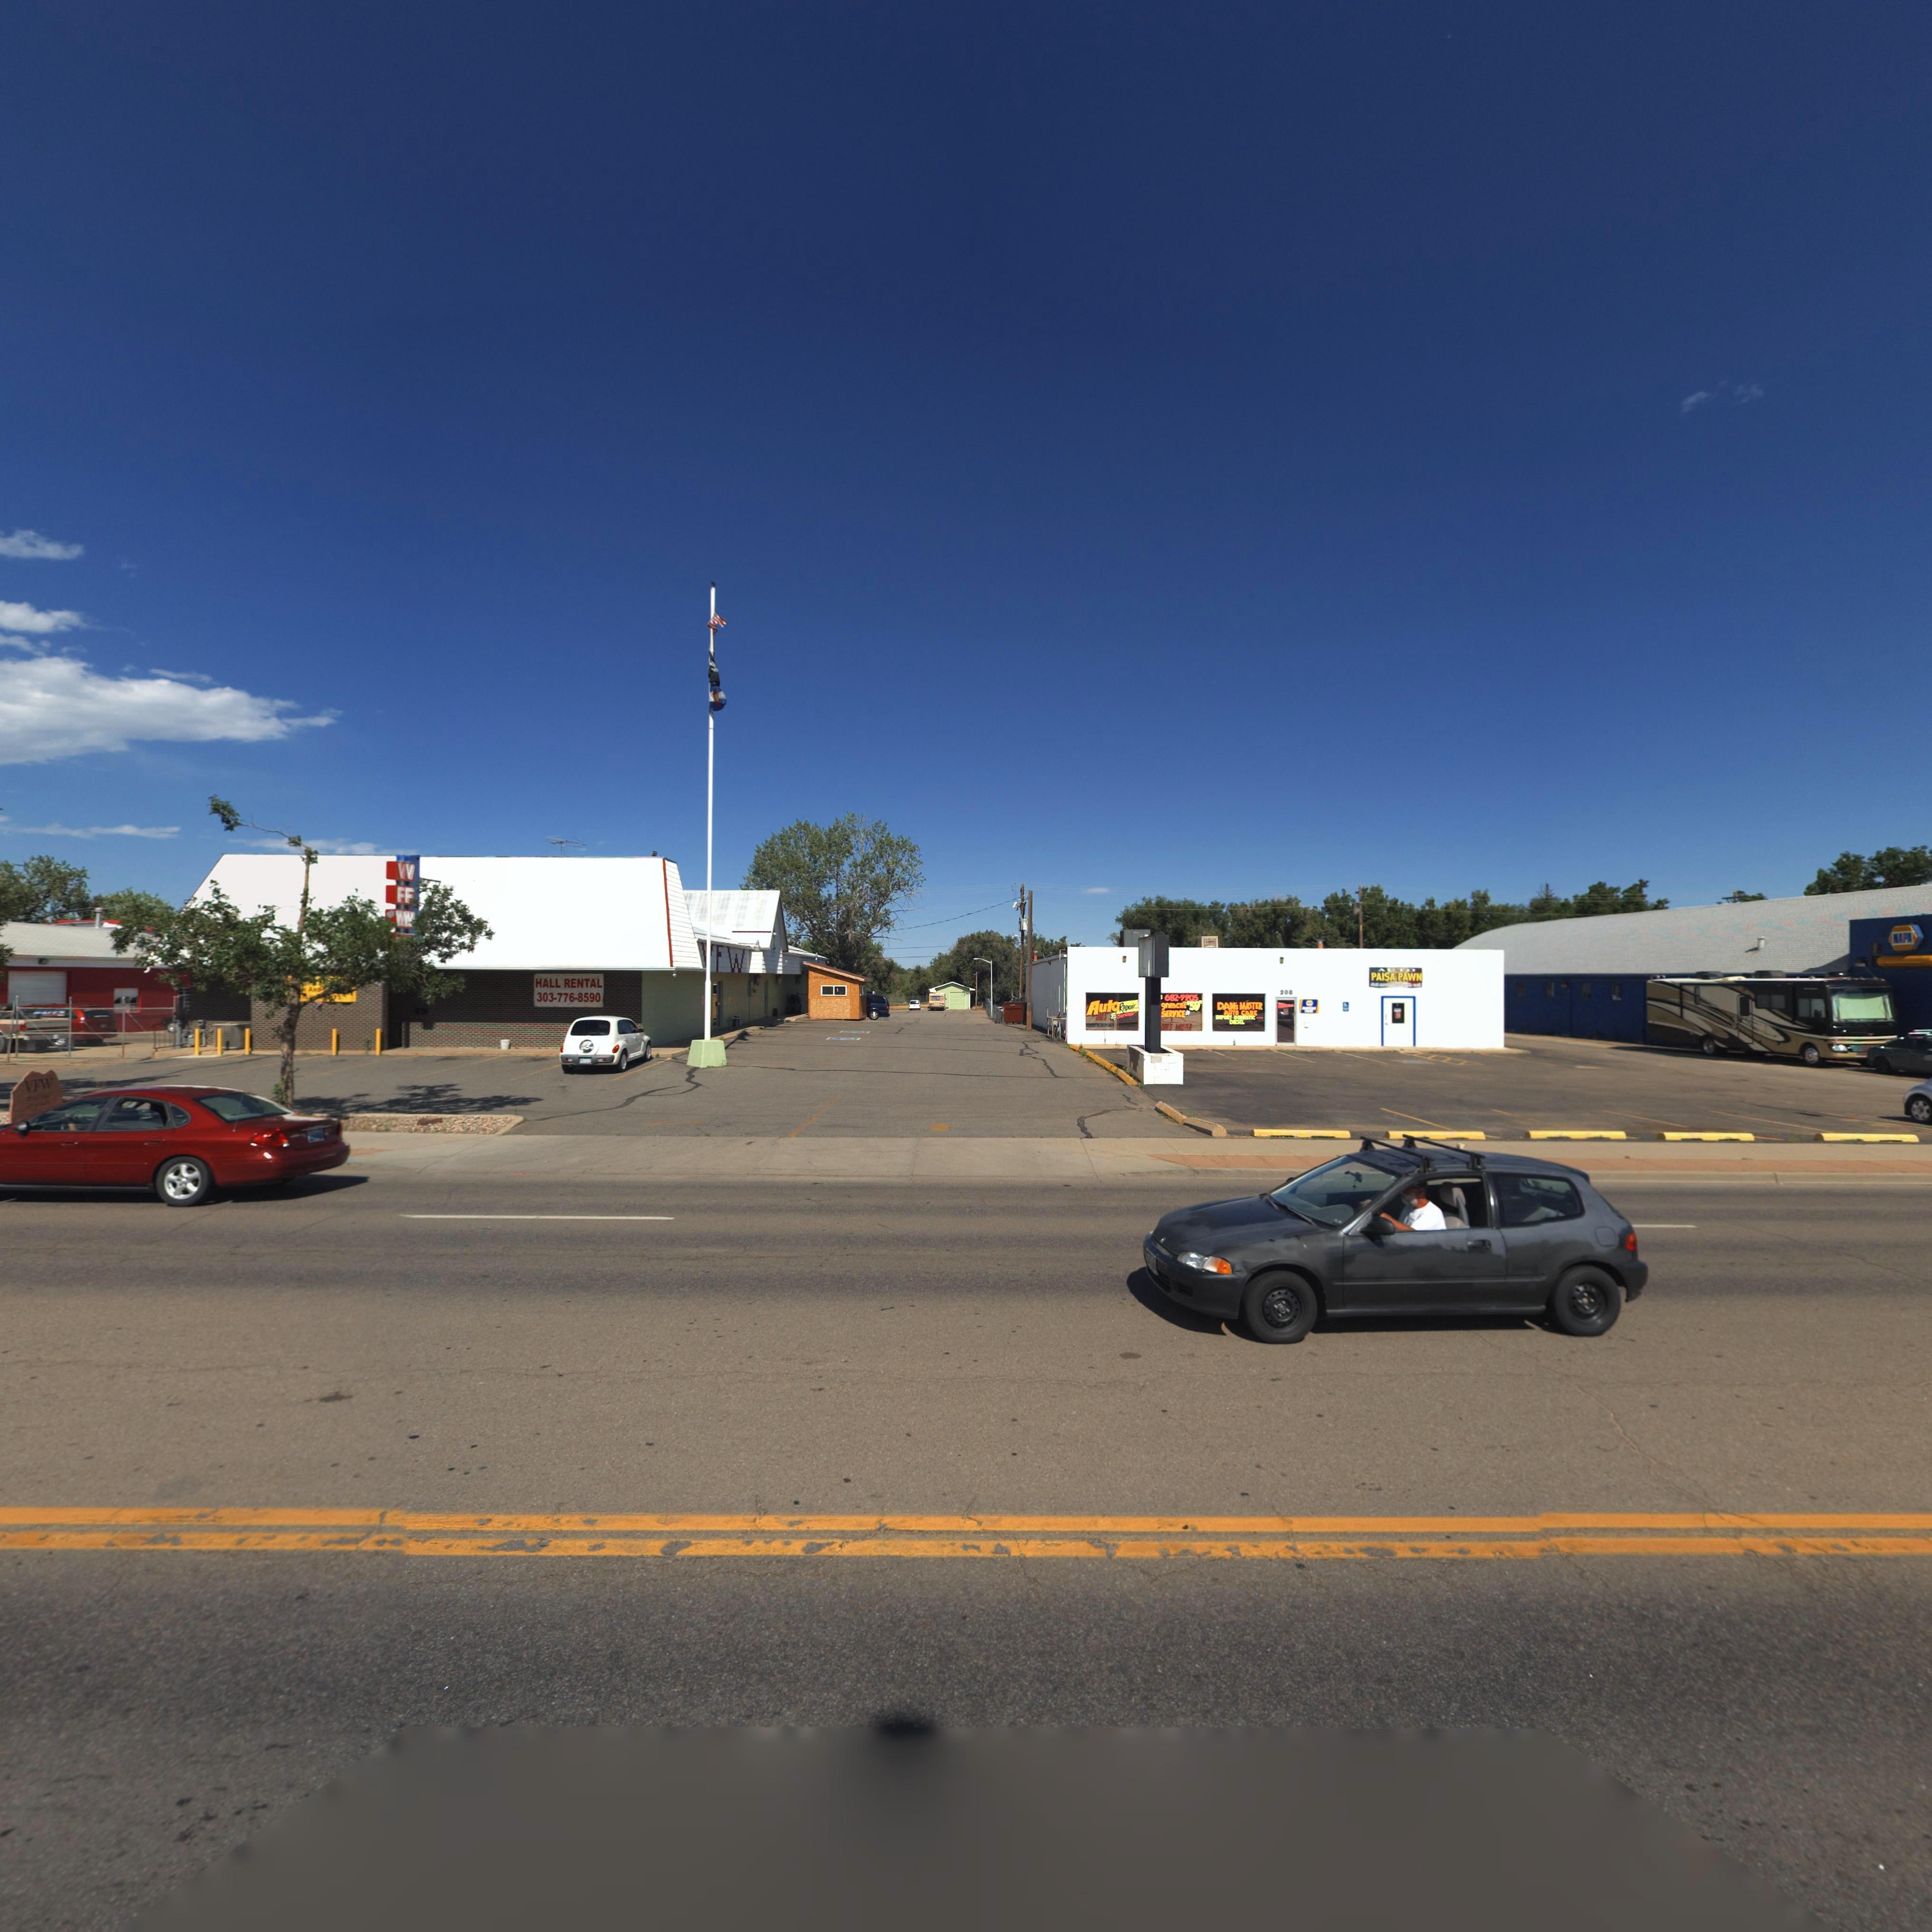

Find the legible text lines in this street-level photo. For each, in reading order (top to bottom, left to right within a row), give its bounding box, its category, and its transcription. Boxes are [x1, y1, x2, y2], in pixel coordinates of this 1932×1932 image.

[394, 861, 406, 926] BusinessName: VF*
[402, 862, 416, 927] BusinessName: VFW
[1893, 931, 1912, 944] BusinessName: NAPA
[700, 941, 746, 974] BusinessName: *FW
[1371, 971, 1422, 981] BusinessName: PAISA PAWN
[1279, 989, 1293, 995] StreetNumber: 208
[1216, 1001, 1263, 1010] BusinessName: DANS MASTER
[1224, 1009, 1258, 1016] BusinessName: AUTO CARE
[1160, 1023, 1192, 1031] BusinessName: ***'S M*STER
[22, 1077, 54, 1093] BusinessName: VFW